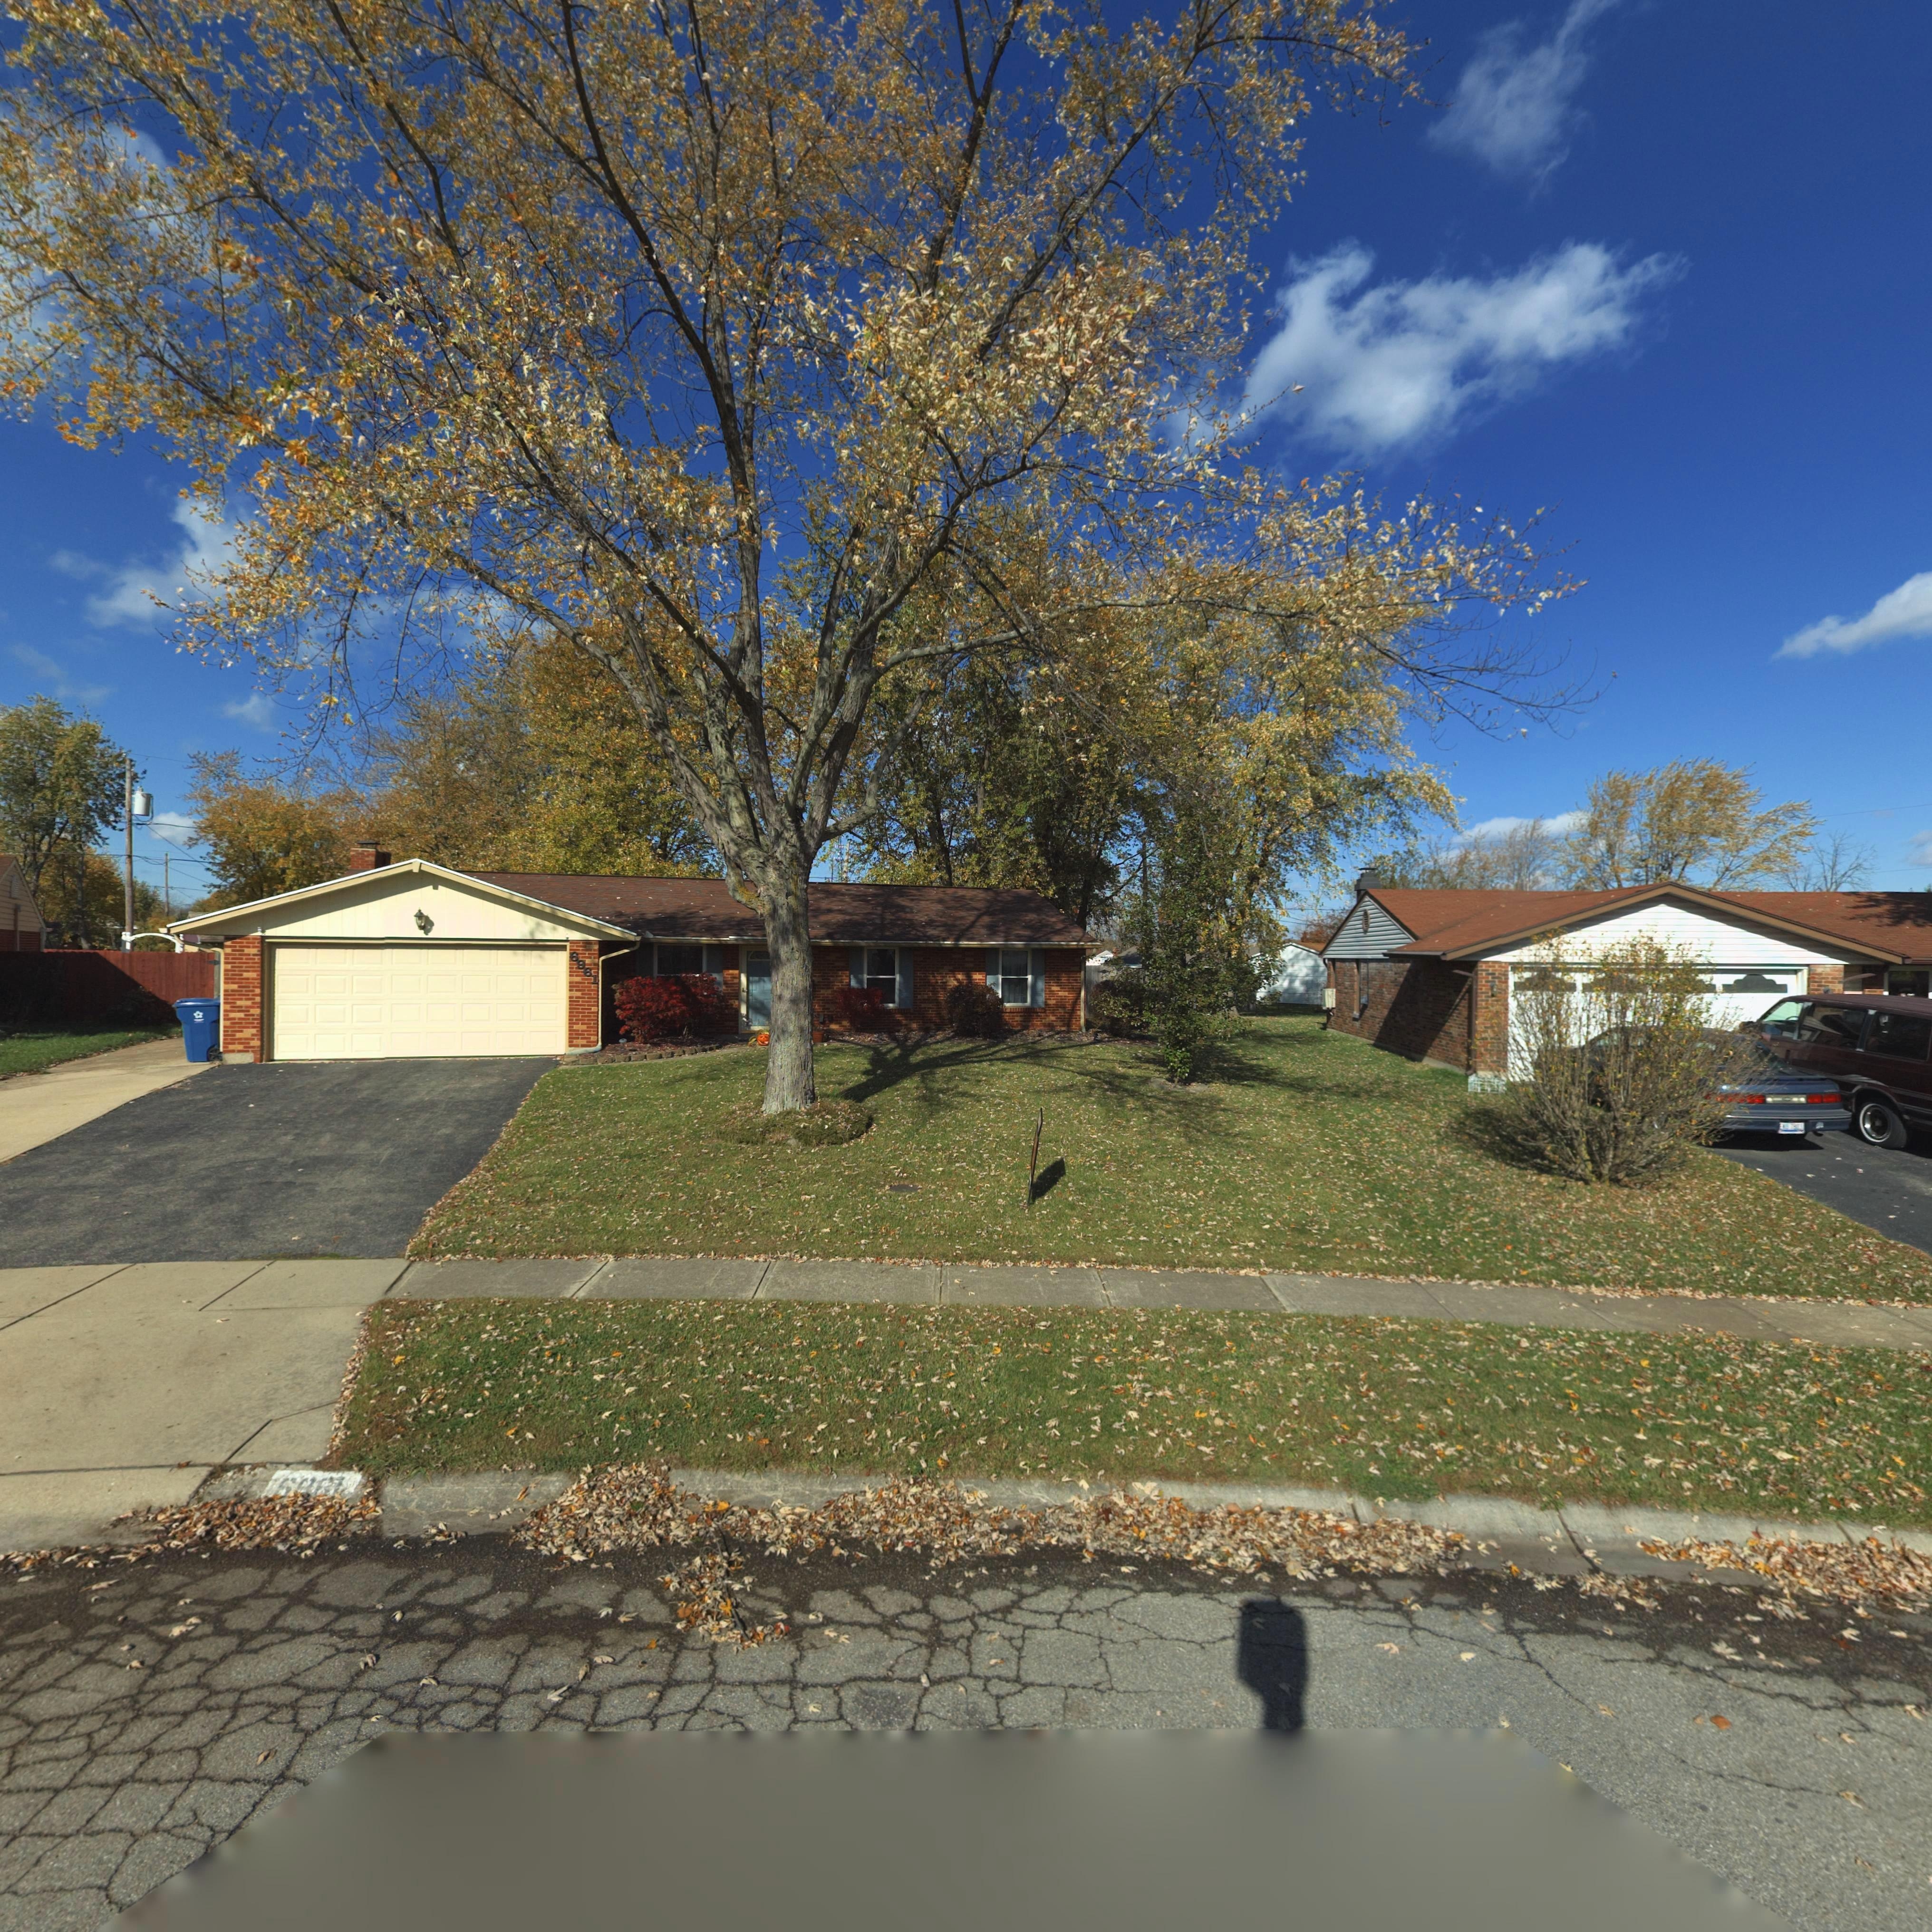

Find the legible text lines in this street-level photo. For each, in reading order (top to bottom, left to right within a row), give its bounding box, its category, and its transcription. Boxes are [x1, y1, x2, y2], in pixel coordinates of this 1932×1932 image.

[569, 950, 599, 985] StreetNumber: 6961